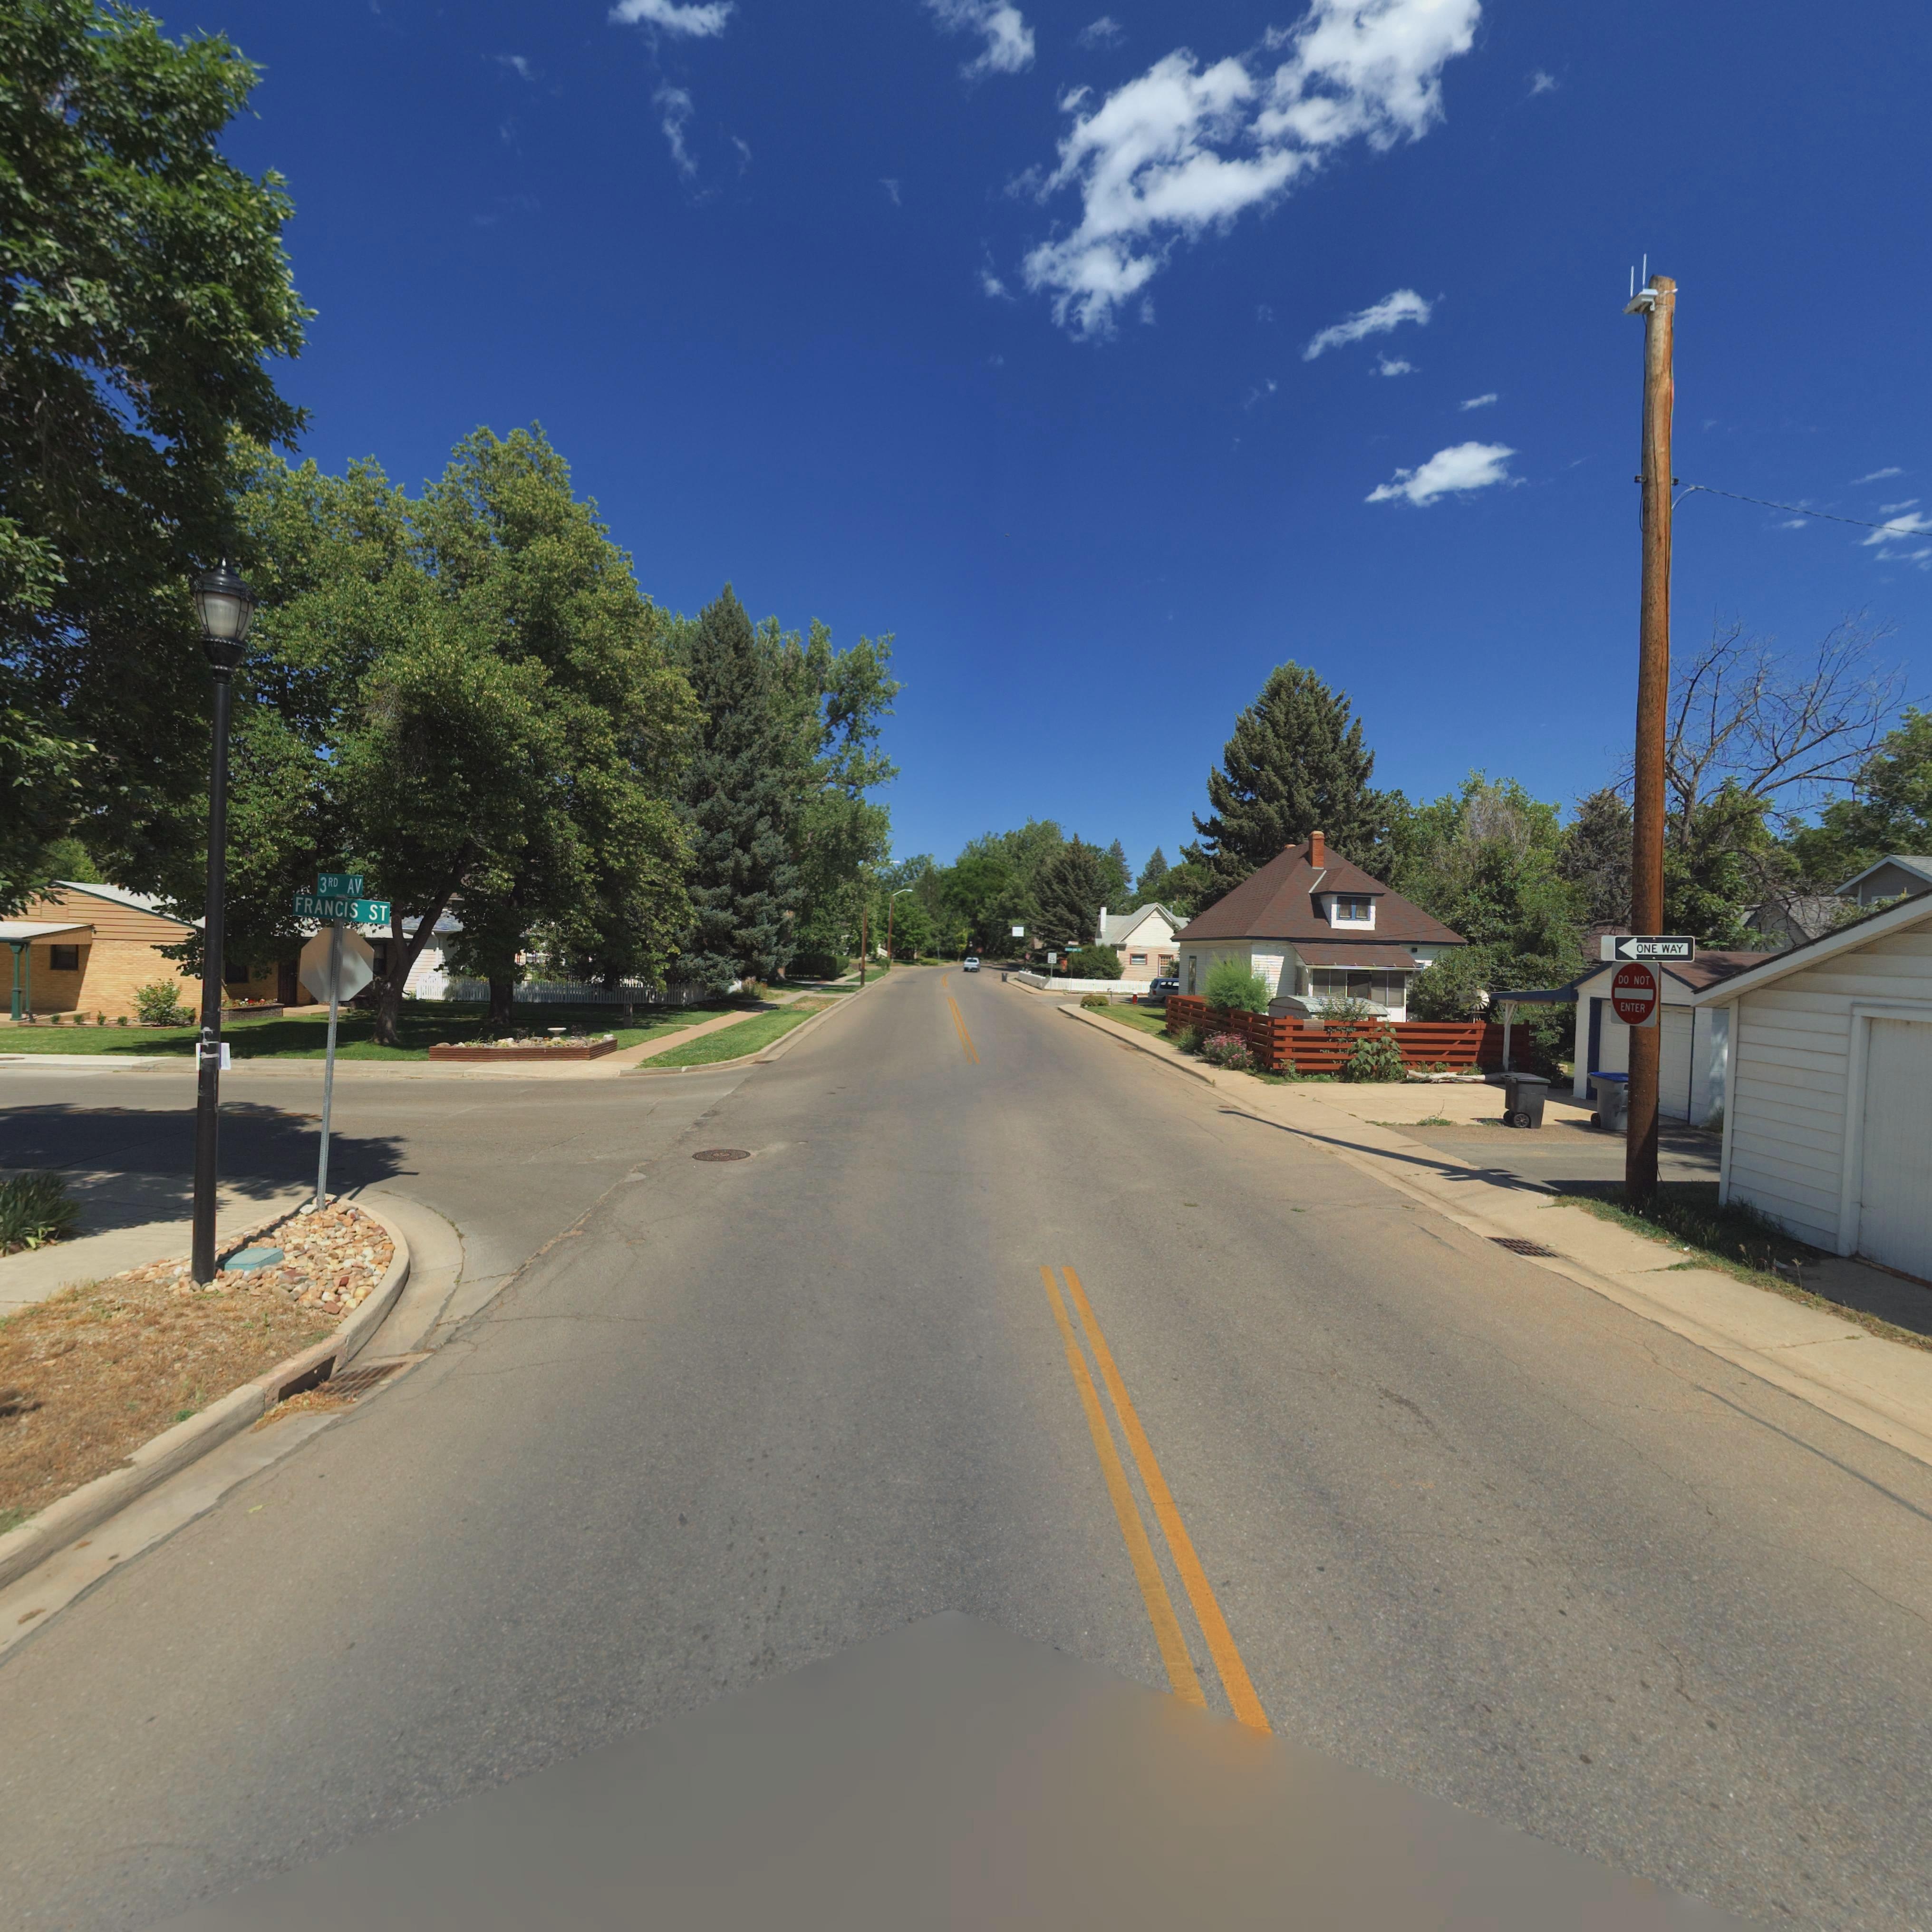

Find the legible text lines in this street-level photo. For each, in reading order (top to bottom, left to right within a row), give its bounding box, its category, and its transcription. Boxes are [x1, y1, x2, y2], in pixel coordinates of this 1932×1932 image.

[319, 877, 362, 894] StreetName: 3RD AV
[295, 896, 387, 921] StreetName: FRANCIS ST